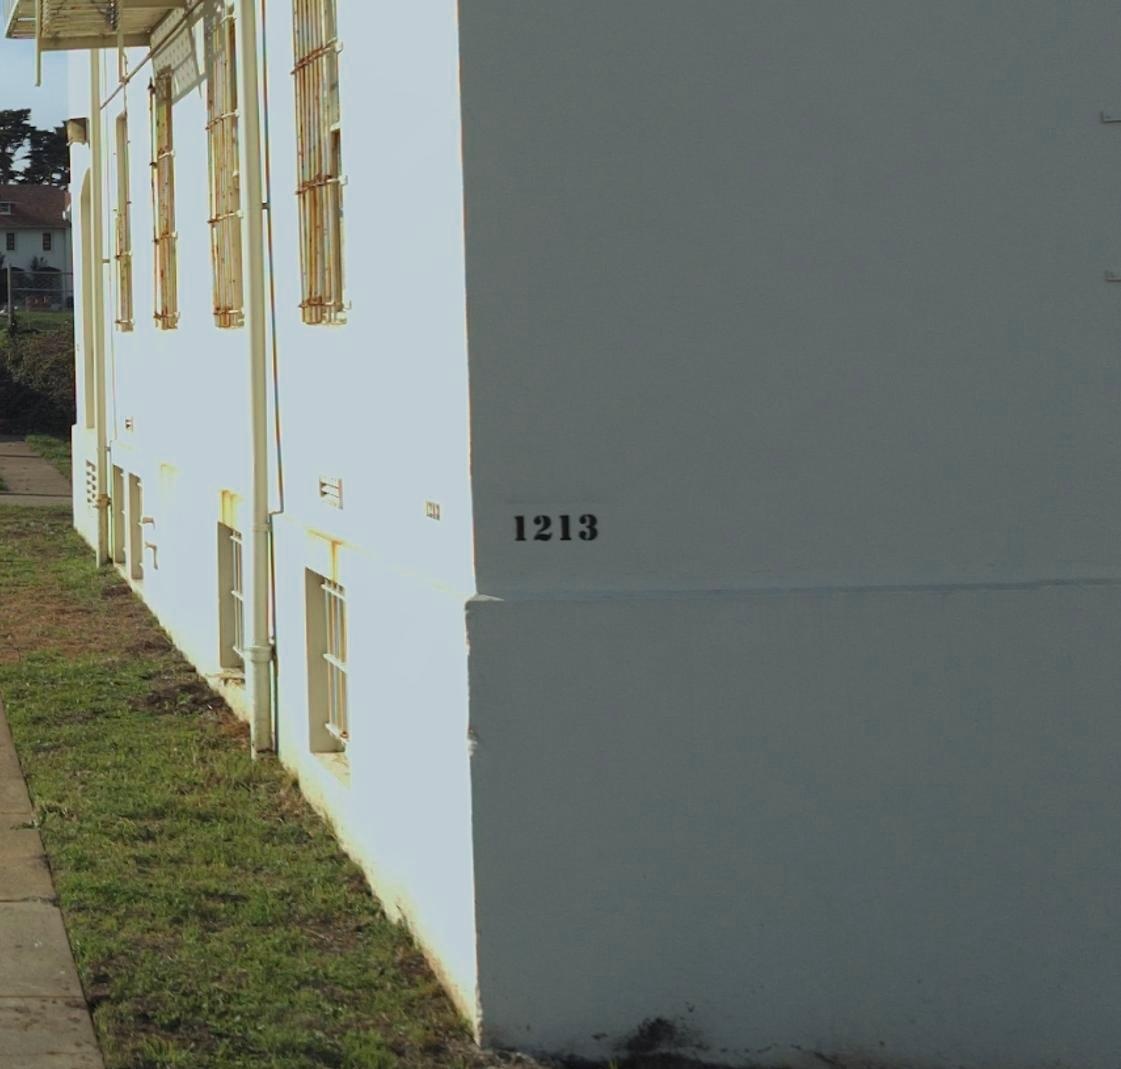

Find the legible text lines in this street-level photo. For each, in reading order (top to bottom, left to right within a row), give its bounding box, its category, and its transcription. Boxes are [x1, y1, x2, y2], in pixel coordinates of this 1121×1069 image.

[511, 512, 601, 543] StreetNumber: 1213